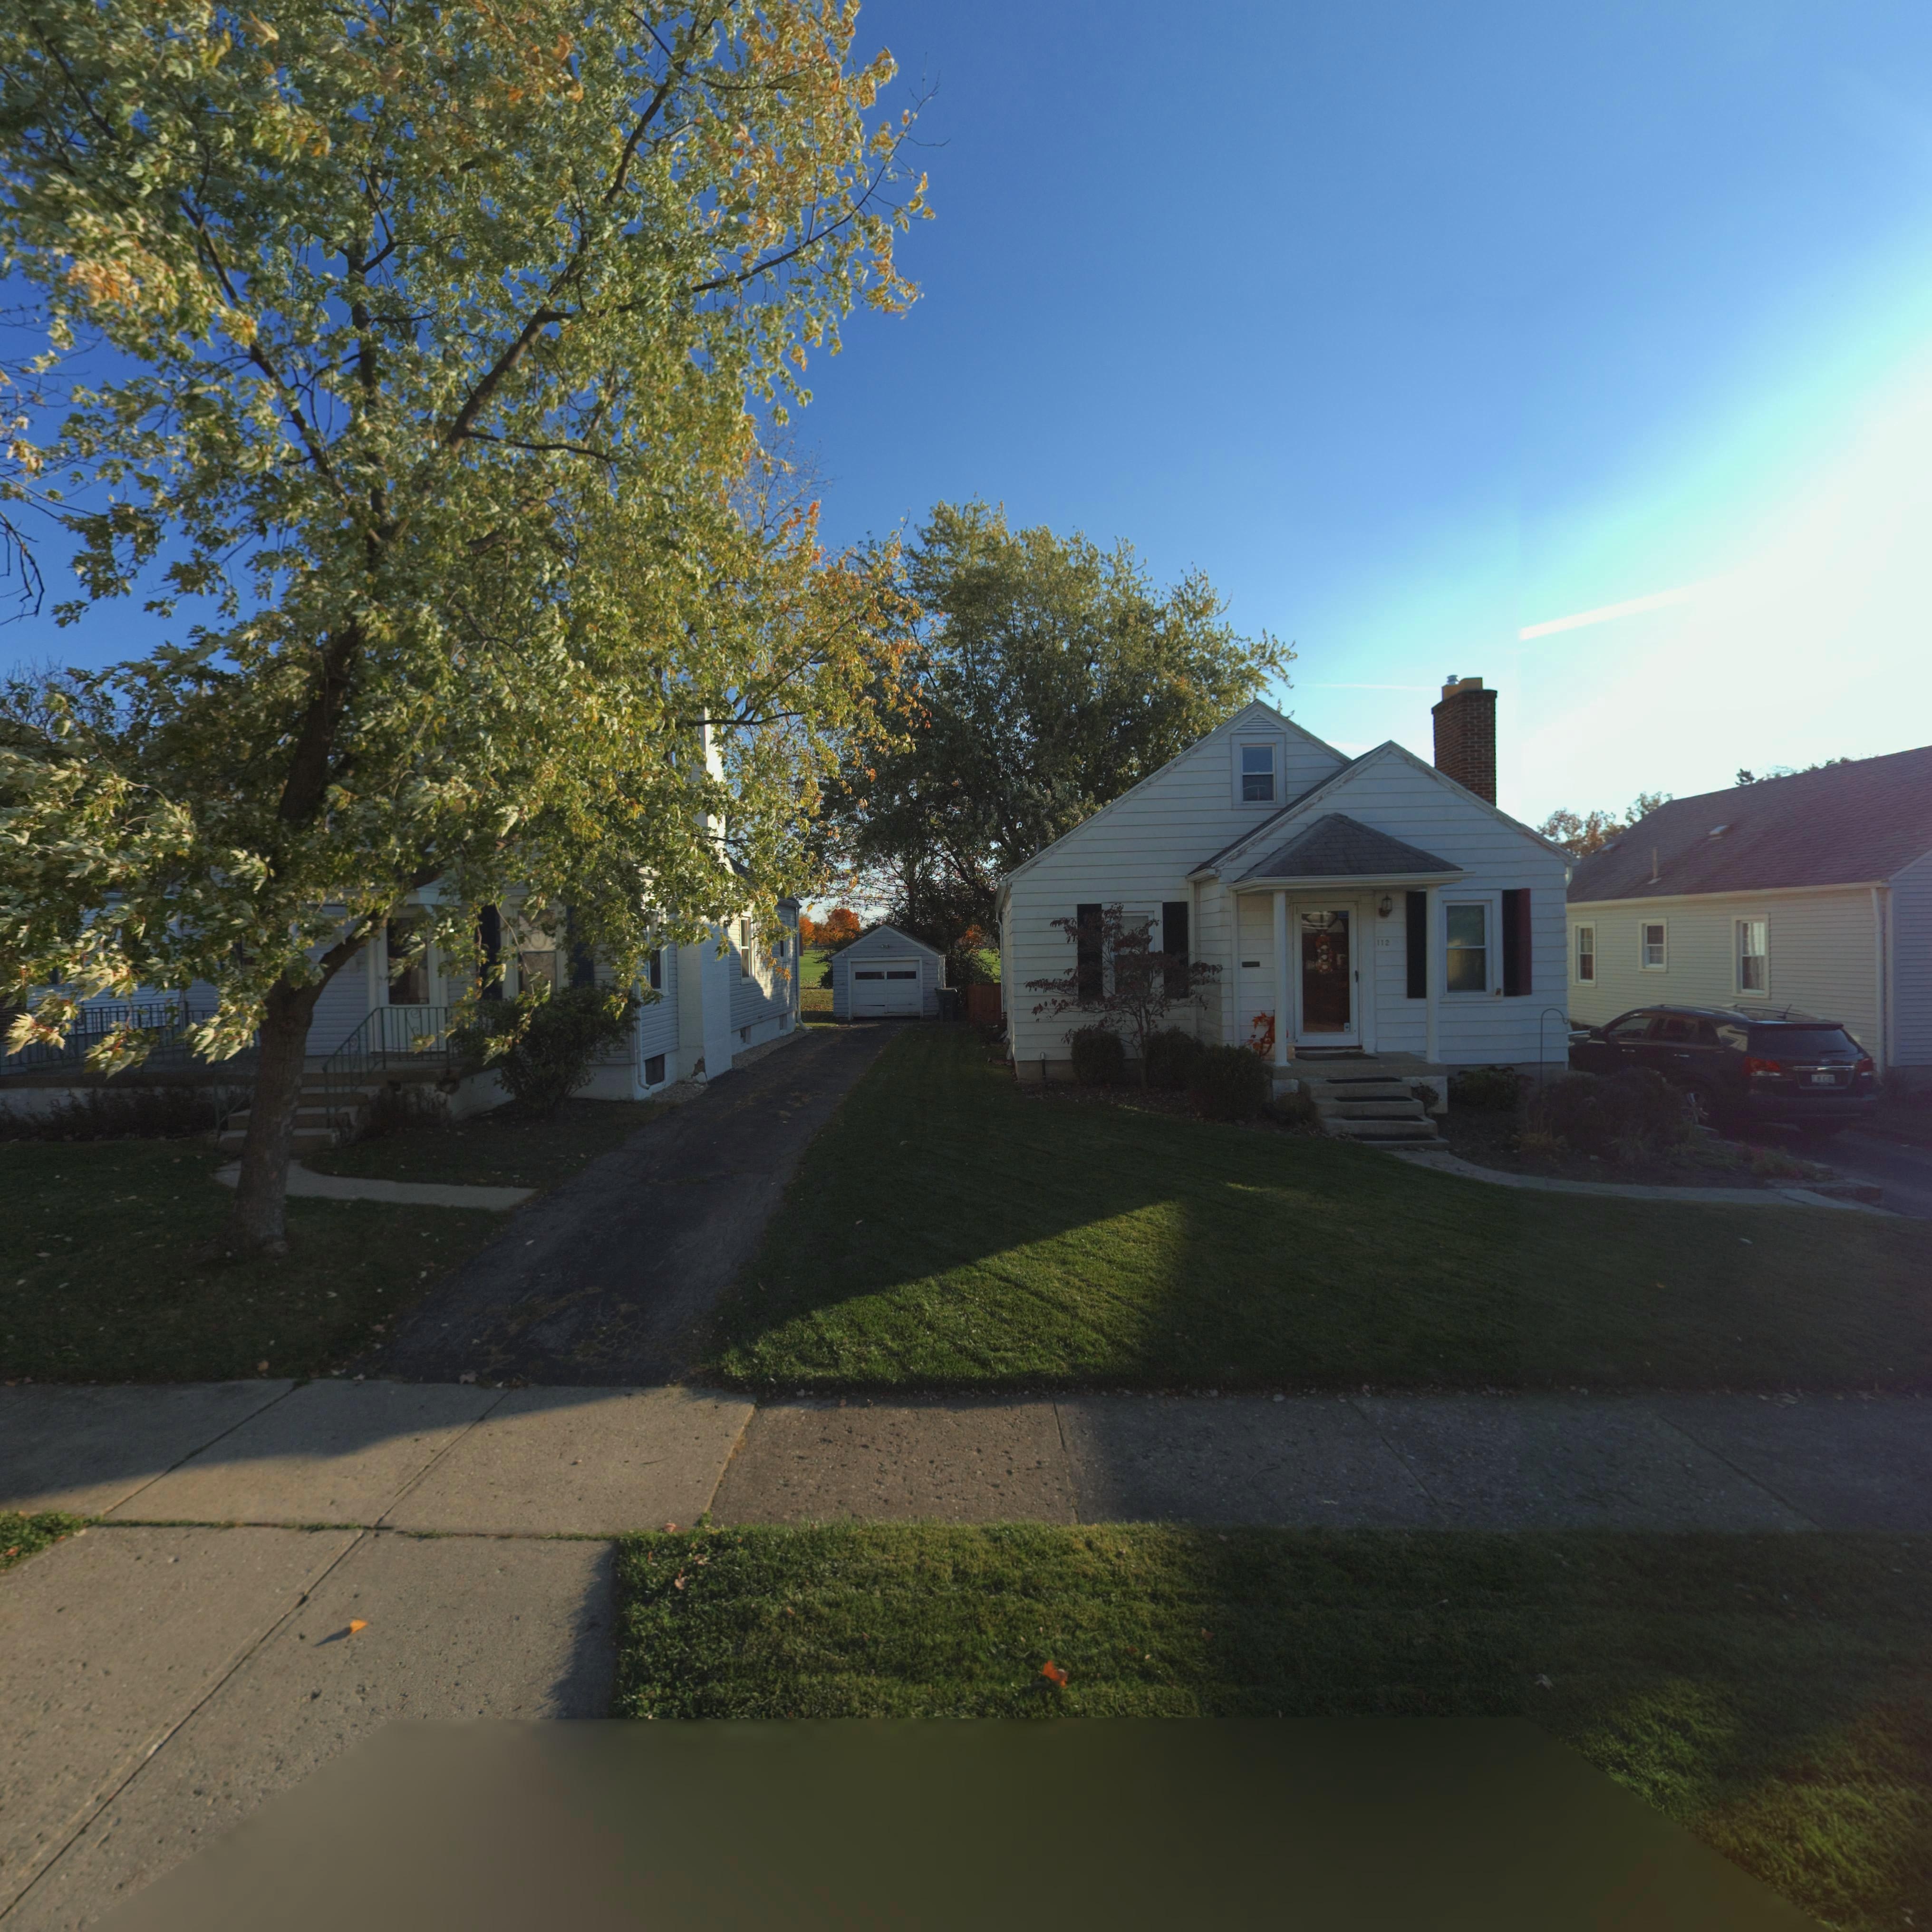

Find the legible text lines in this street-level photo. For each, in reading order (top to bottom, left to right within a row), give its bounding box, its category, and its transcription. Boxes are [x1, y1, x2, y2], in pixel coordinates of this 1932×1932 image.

[1376, 938, 1391, 947] StreetNumber: 112